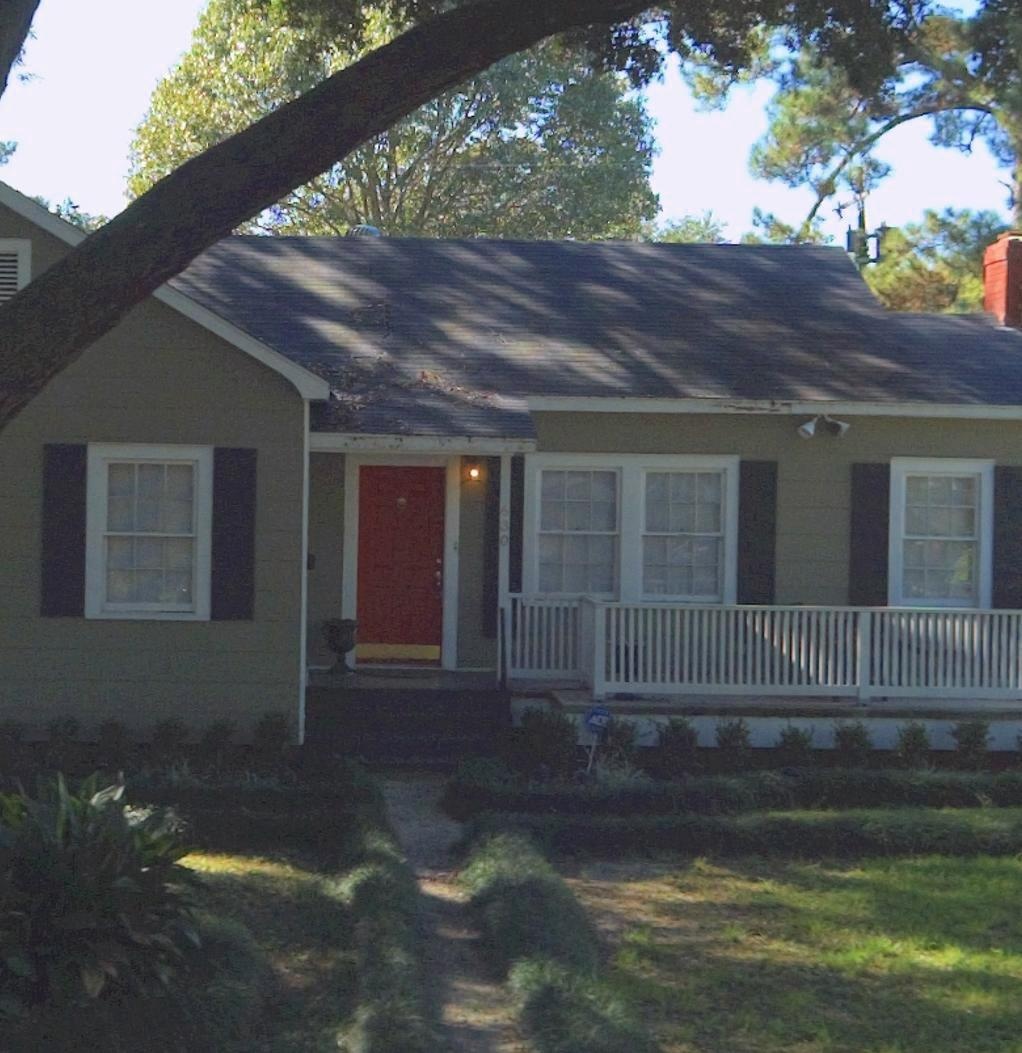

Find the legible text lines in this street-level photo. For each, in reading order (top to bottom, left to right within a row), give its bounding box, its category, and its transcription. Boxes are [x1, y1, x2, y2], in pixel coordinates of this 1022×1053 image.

[500, 503, 510, 549] StreetNumber: 530
[586, 713, 611, 730] None: AD*